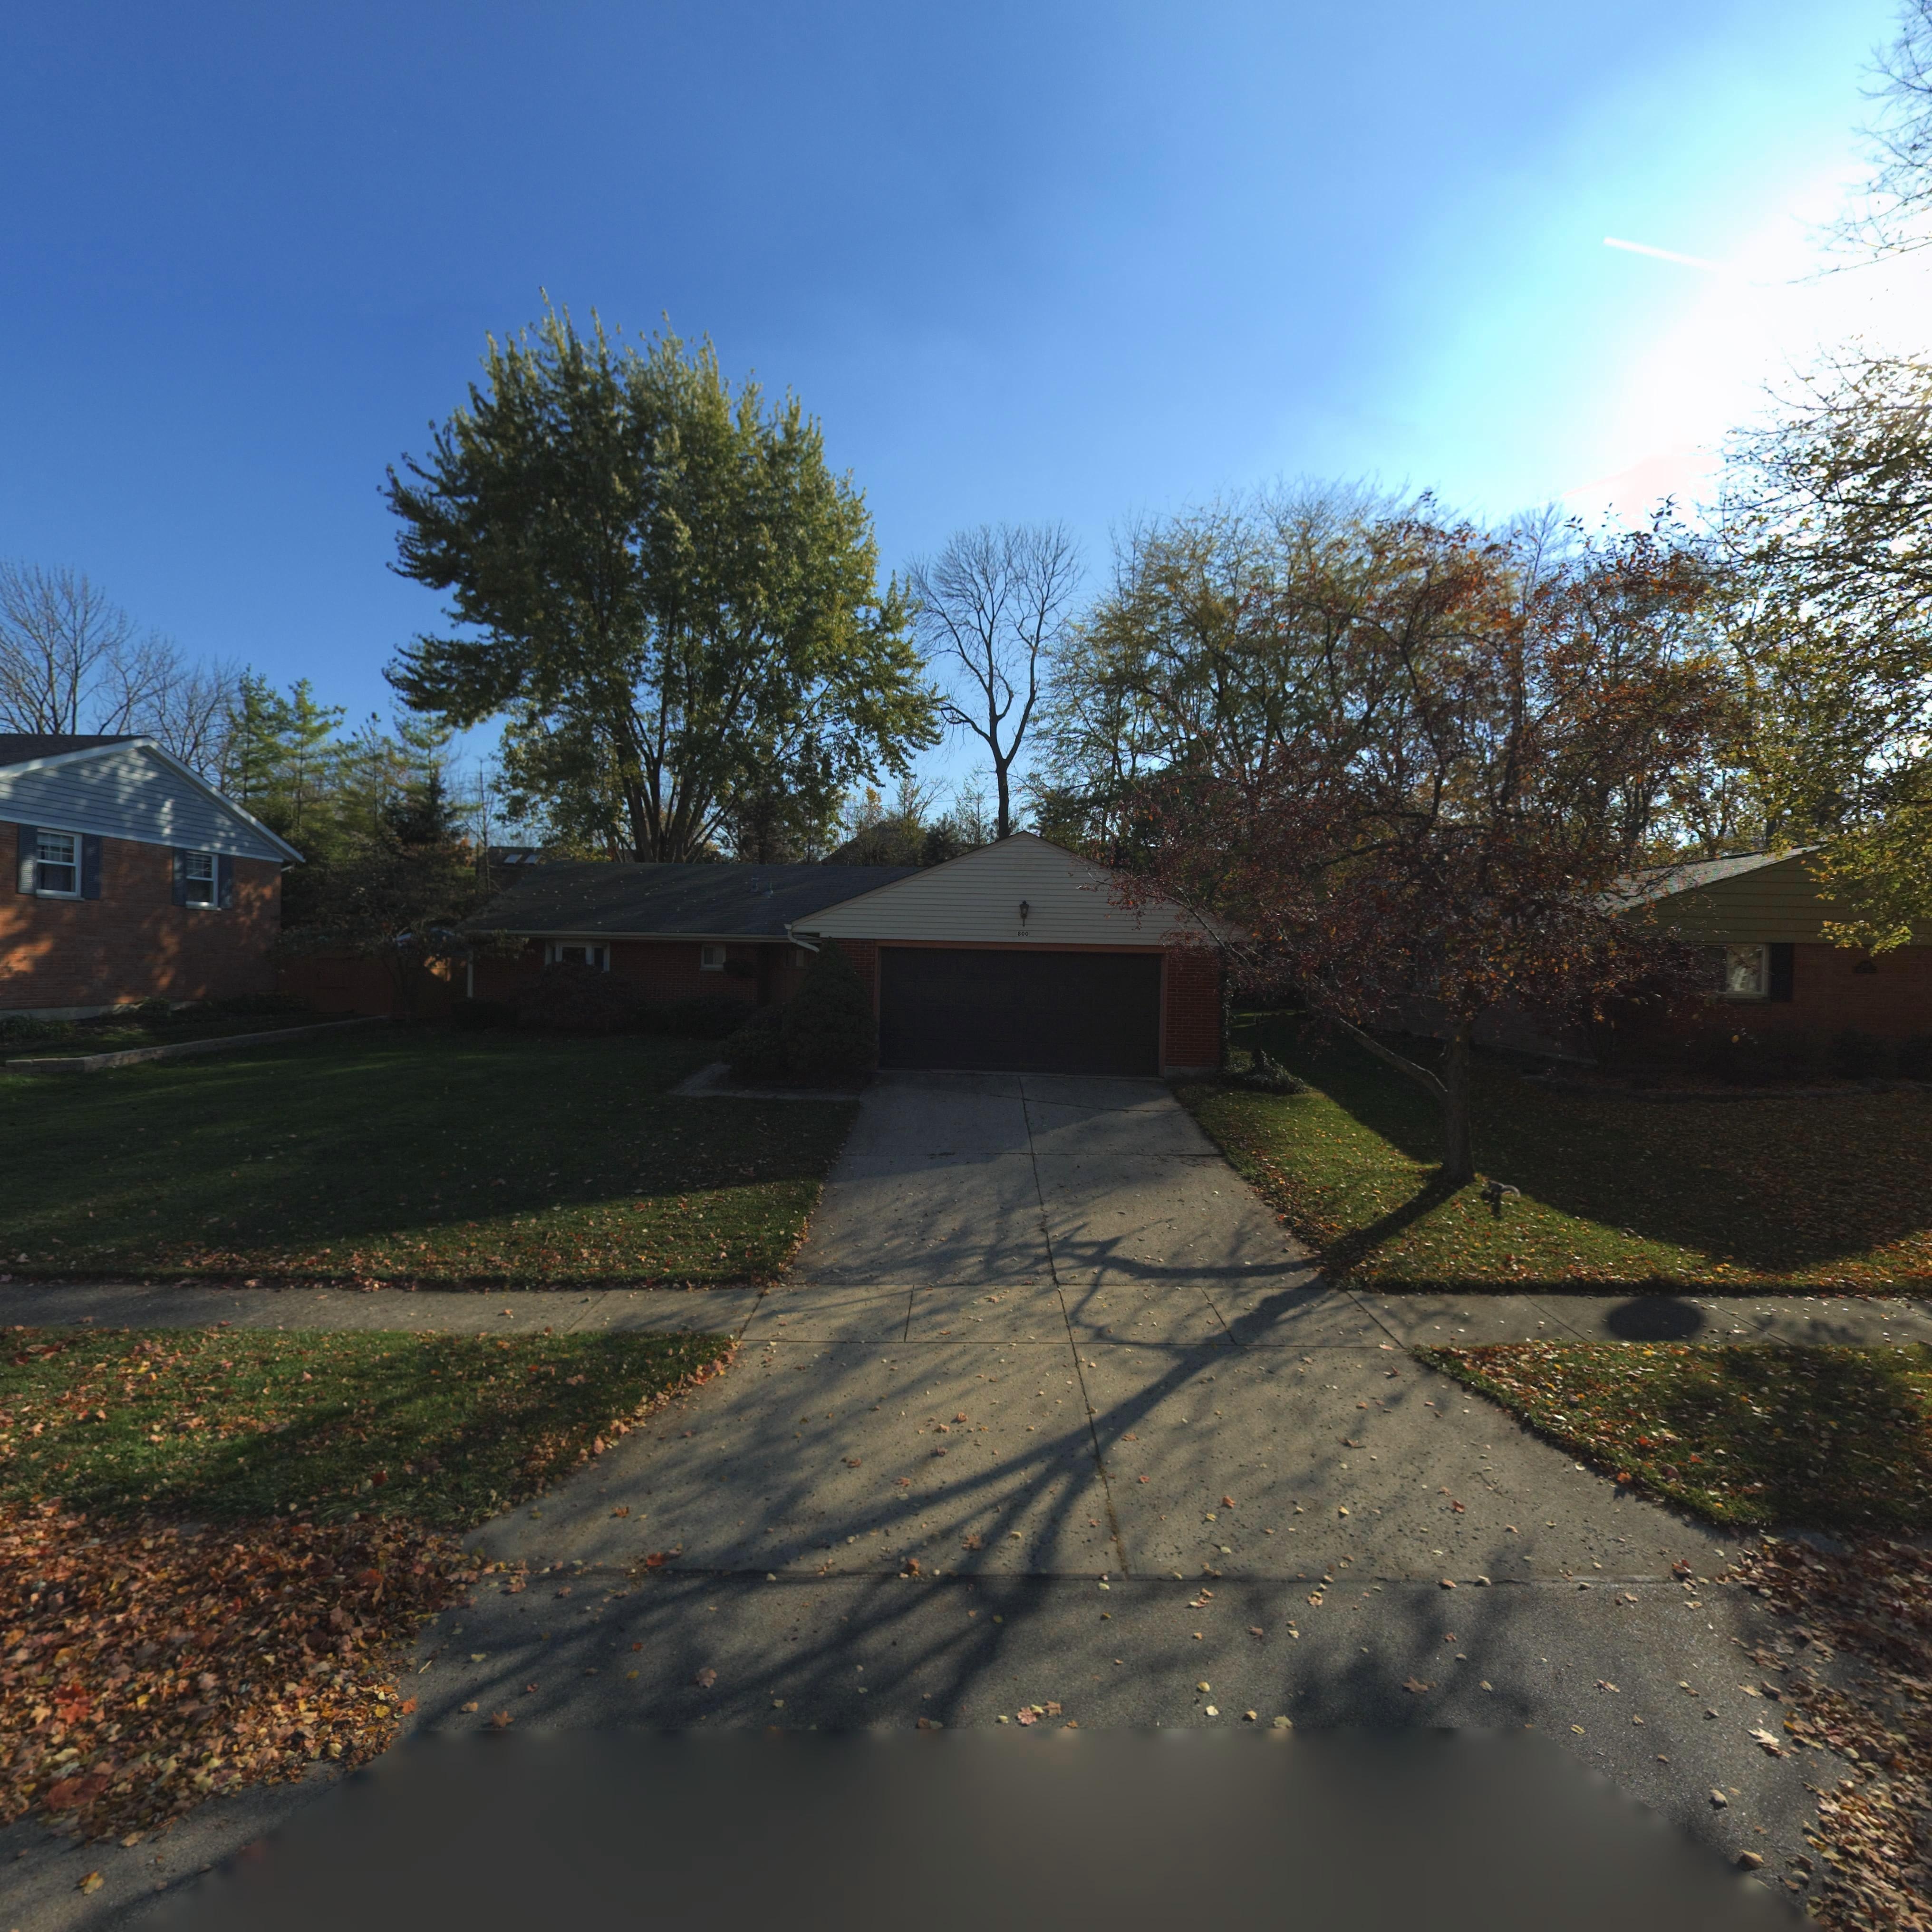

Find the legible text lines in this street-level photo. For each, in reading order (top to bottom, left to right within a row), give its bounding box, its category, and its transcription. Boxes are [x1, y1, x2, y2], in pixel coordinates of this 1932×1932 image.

[1017, 931, 1029, 937] StreetNumber: 800